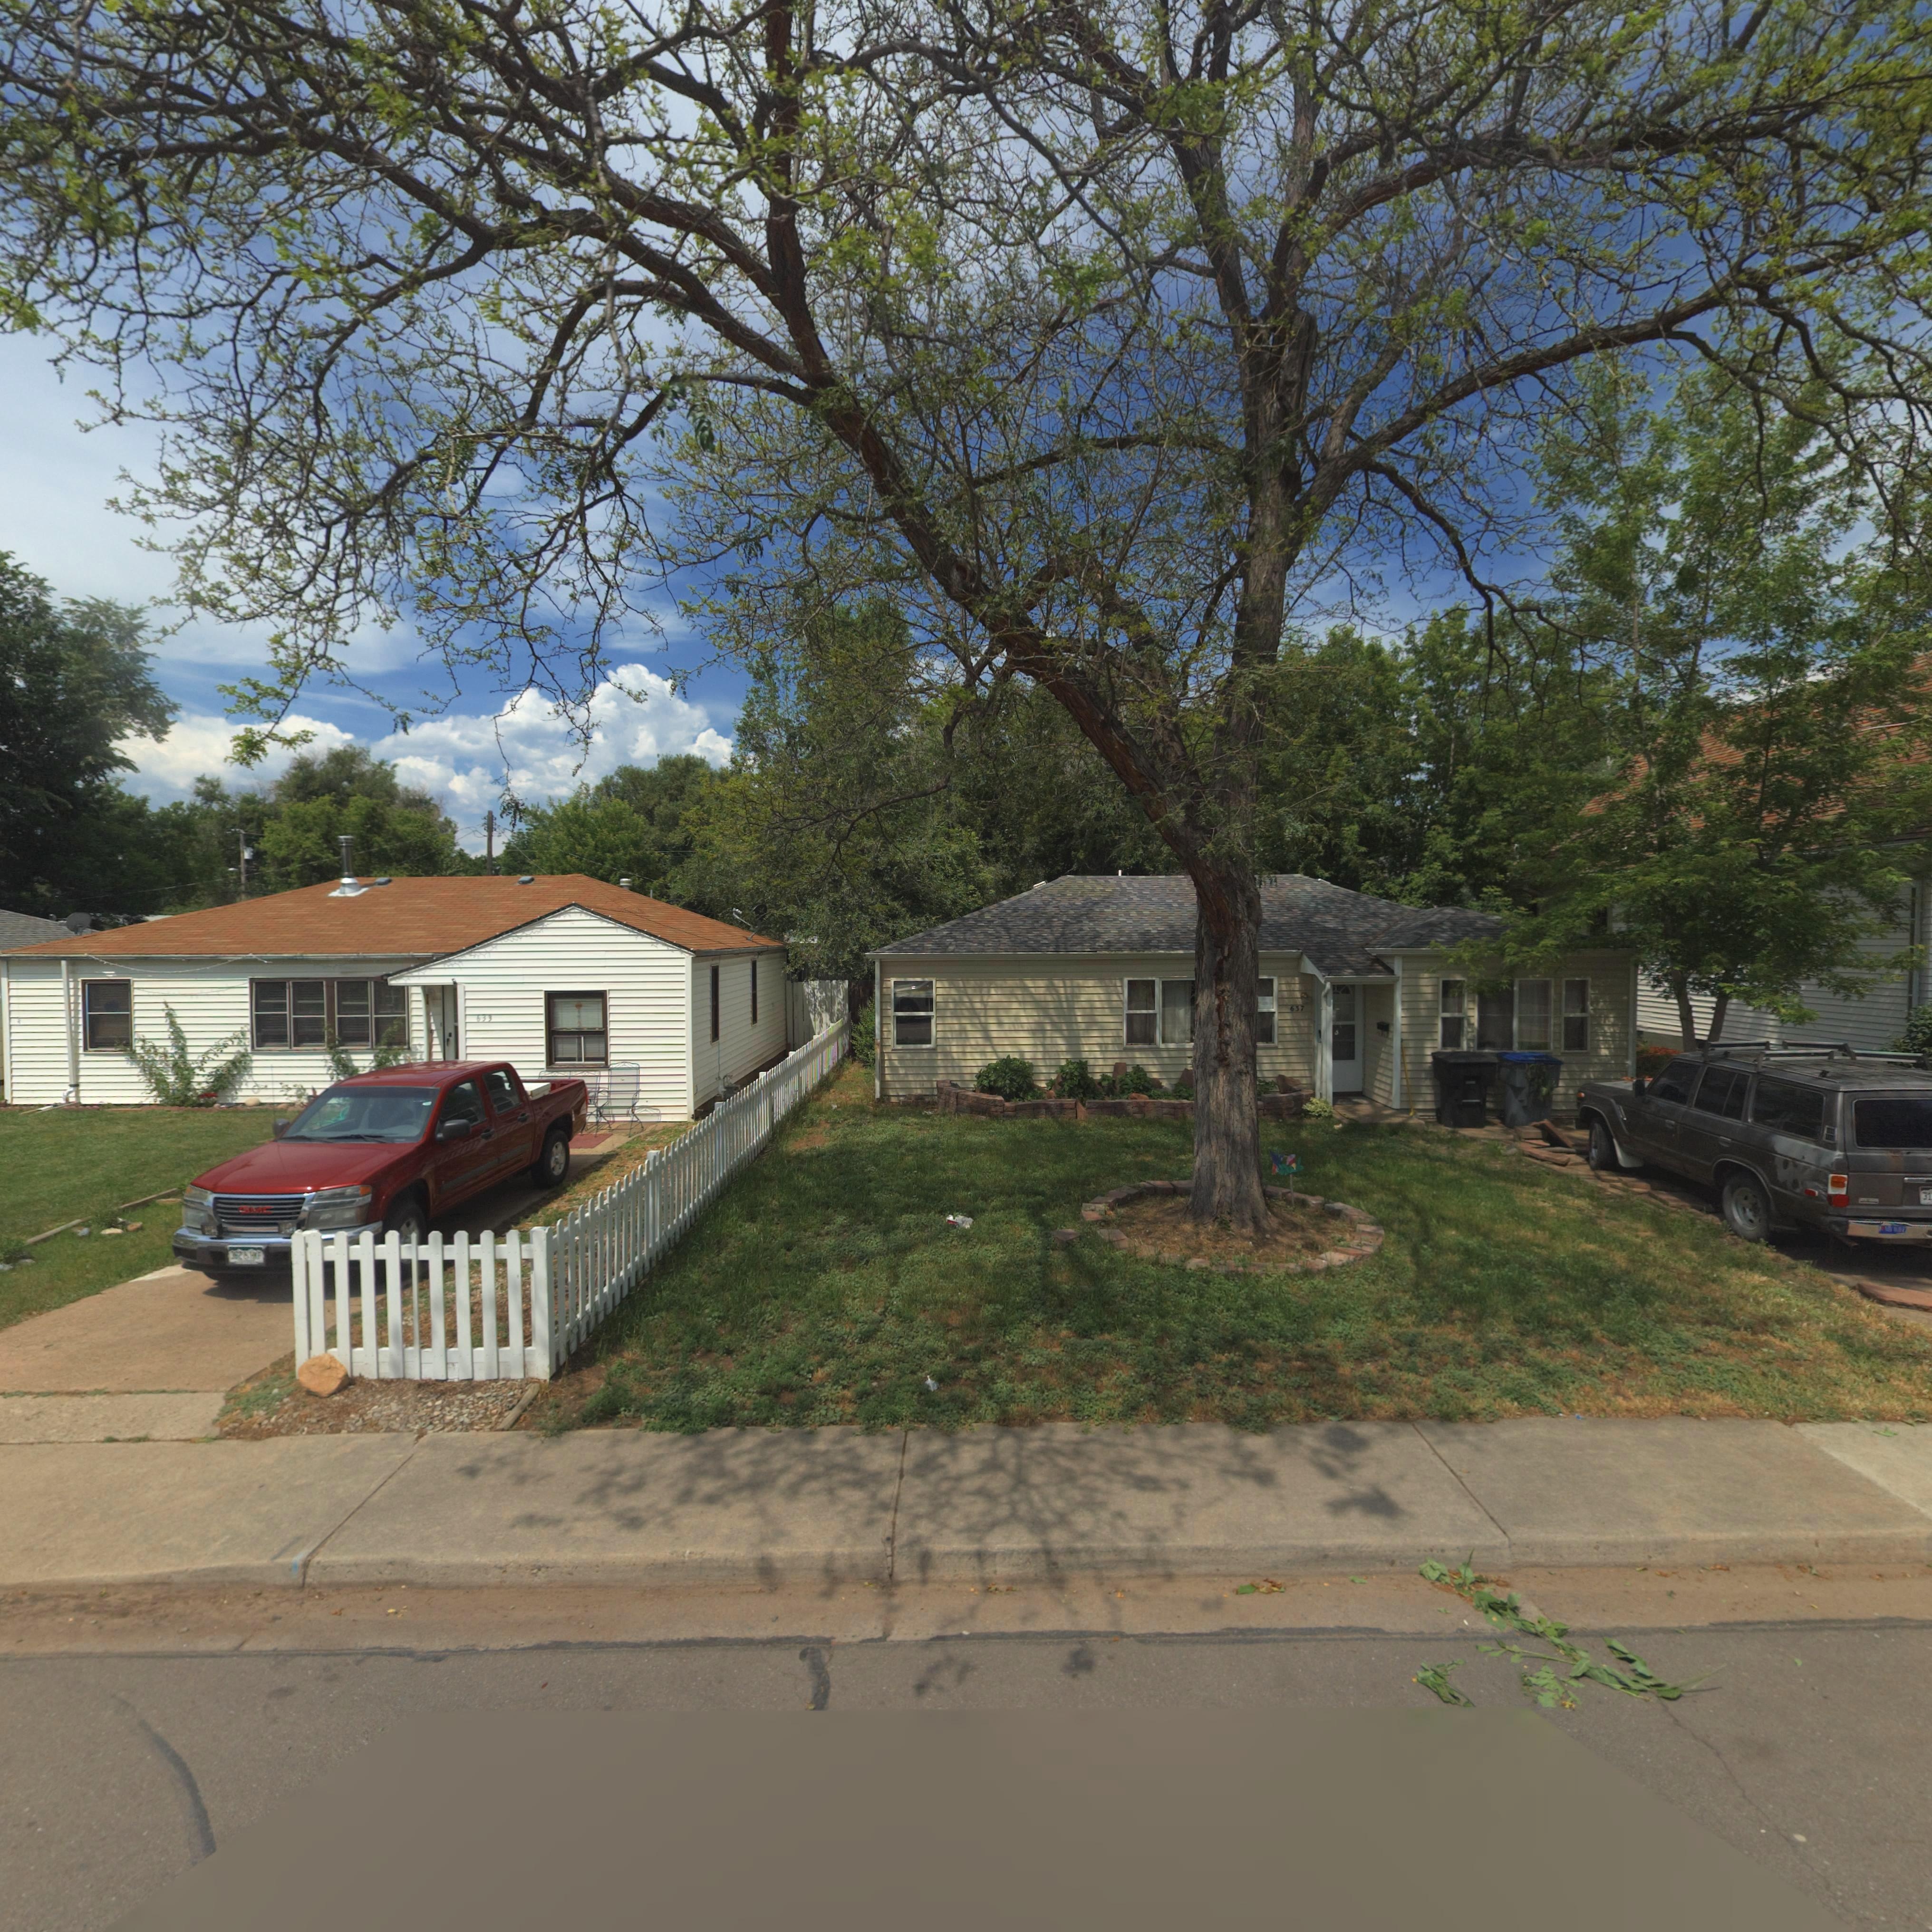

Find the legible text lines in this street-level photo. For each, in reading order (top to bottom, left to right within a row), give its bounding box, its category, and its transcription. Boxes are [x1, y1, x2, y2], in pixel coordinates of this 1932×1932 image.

[1290, 1005, 1304, 1012] StreetNumber: 637
[476, 1014, 492, 1022] StreetNumber: 633